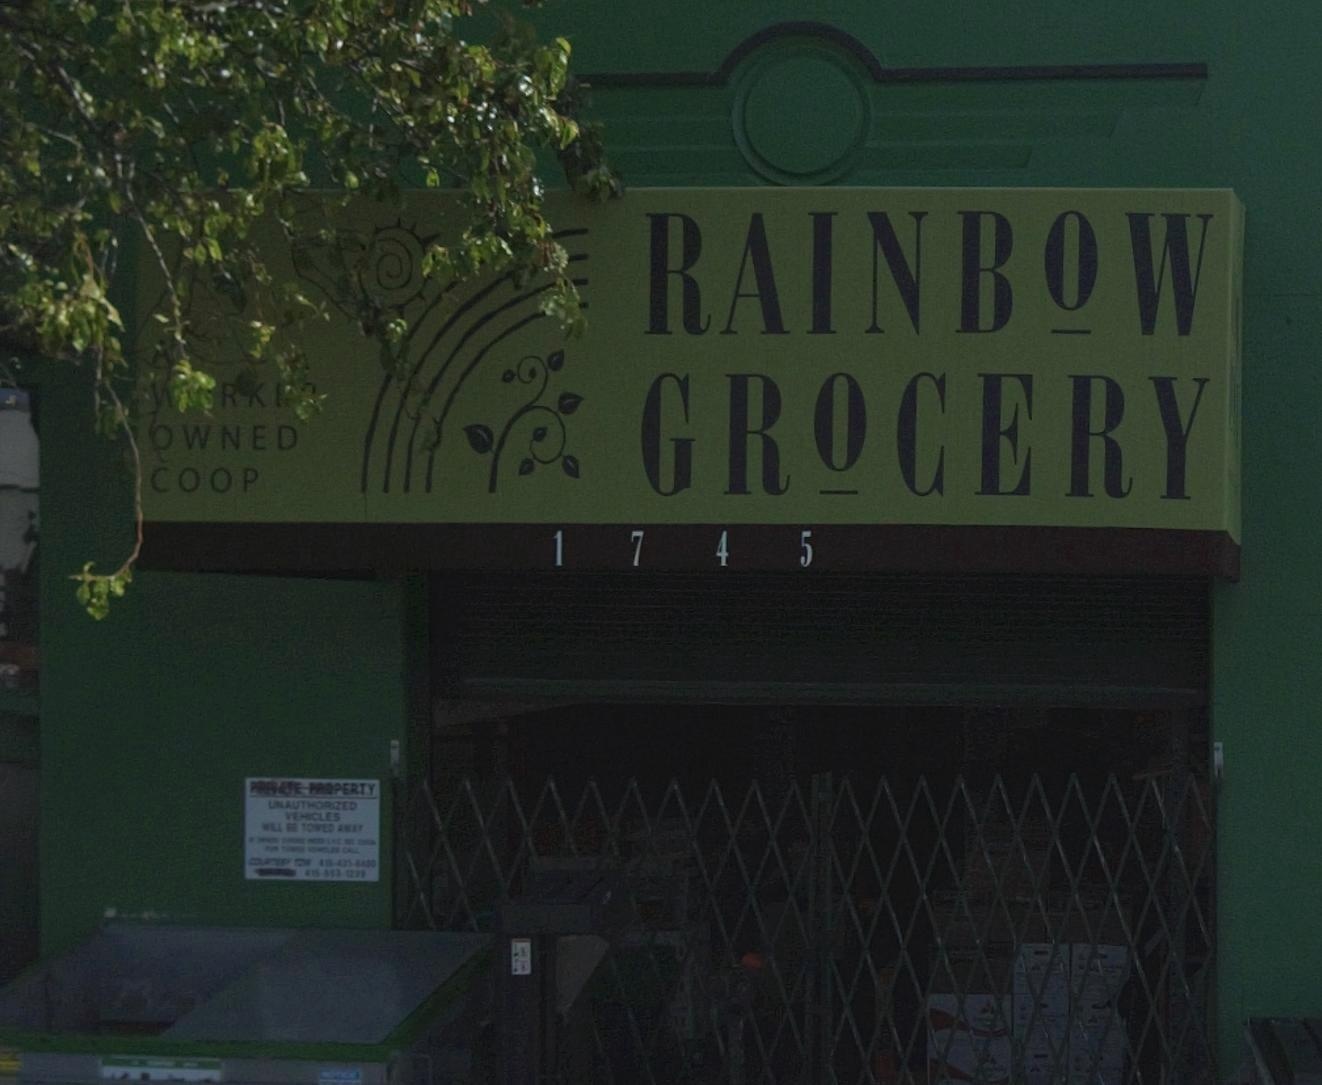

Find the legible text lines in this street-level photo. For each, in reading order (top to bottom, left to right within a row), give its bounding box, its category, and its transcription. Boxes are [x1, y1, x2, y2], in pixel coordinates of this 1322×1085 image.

[636, 202, 1221, 349] BusinessName: RAINBOW
[217, 378, 245, 416] None: R
[146, 421, 305, 457] None: OWNED
[632, 362, 1225, 512] BusinessName: GROCERY
[146, 462, 266, 498] None: COOP
[546, 522, 821, 574] StreetNumber: 1745
[247, 778, 380, 799] None: P**VATE PROPERTY
[282, 808, 345, 825] None: VEHICLES
[266, 798, 364, 814] None: UNAUTORIZED